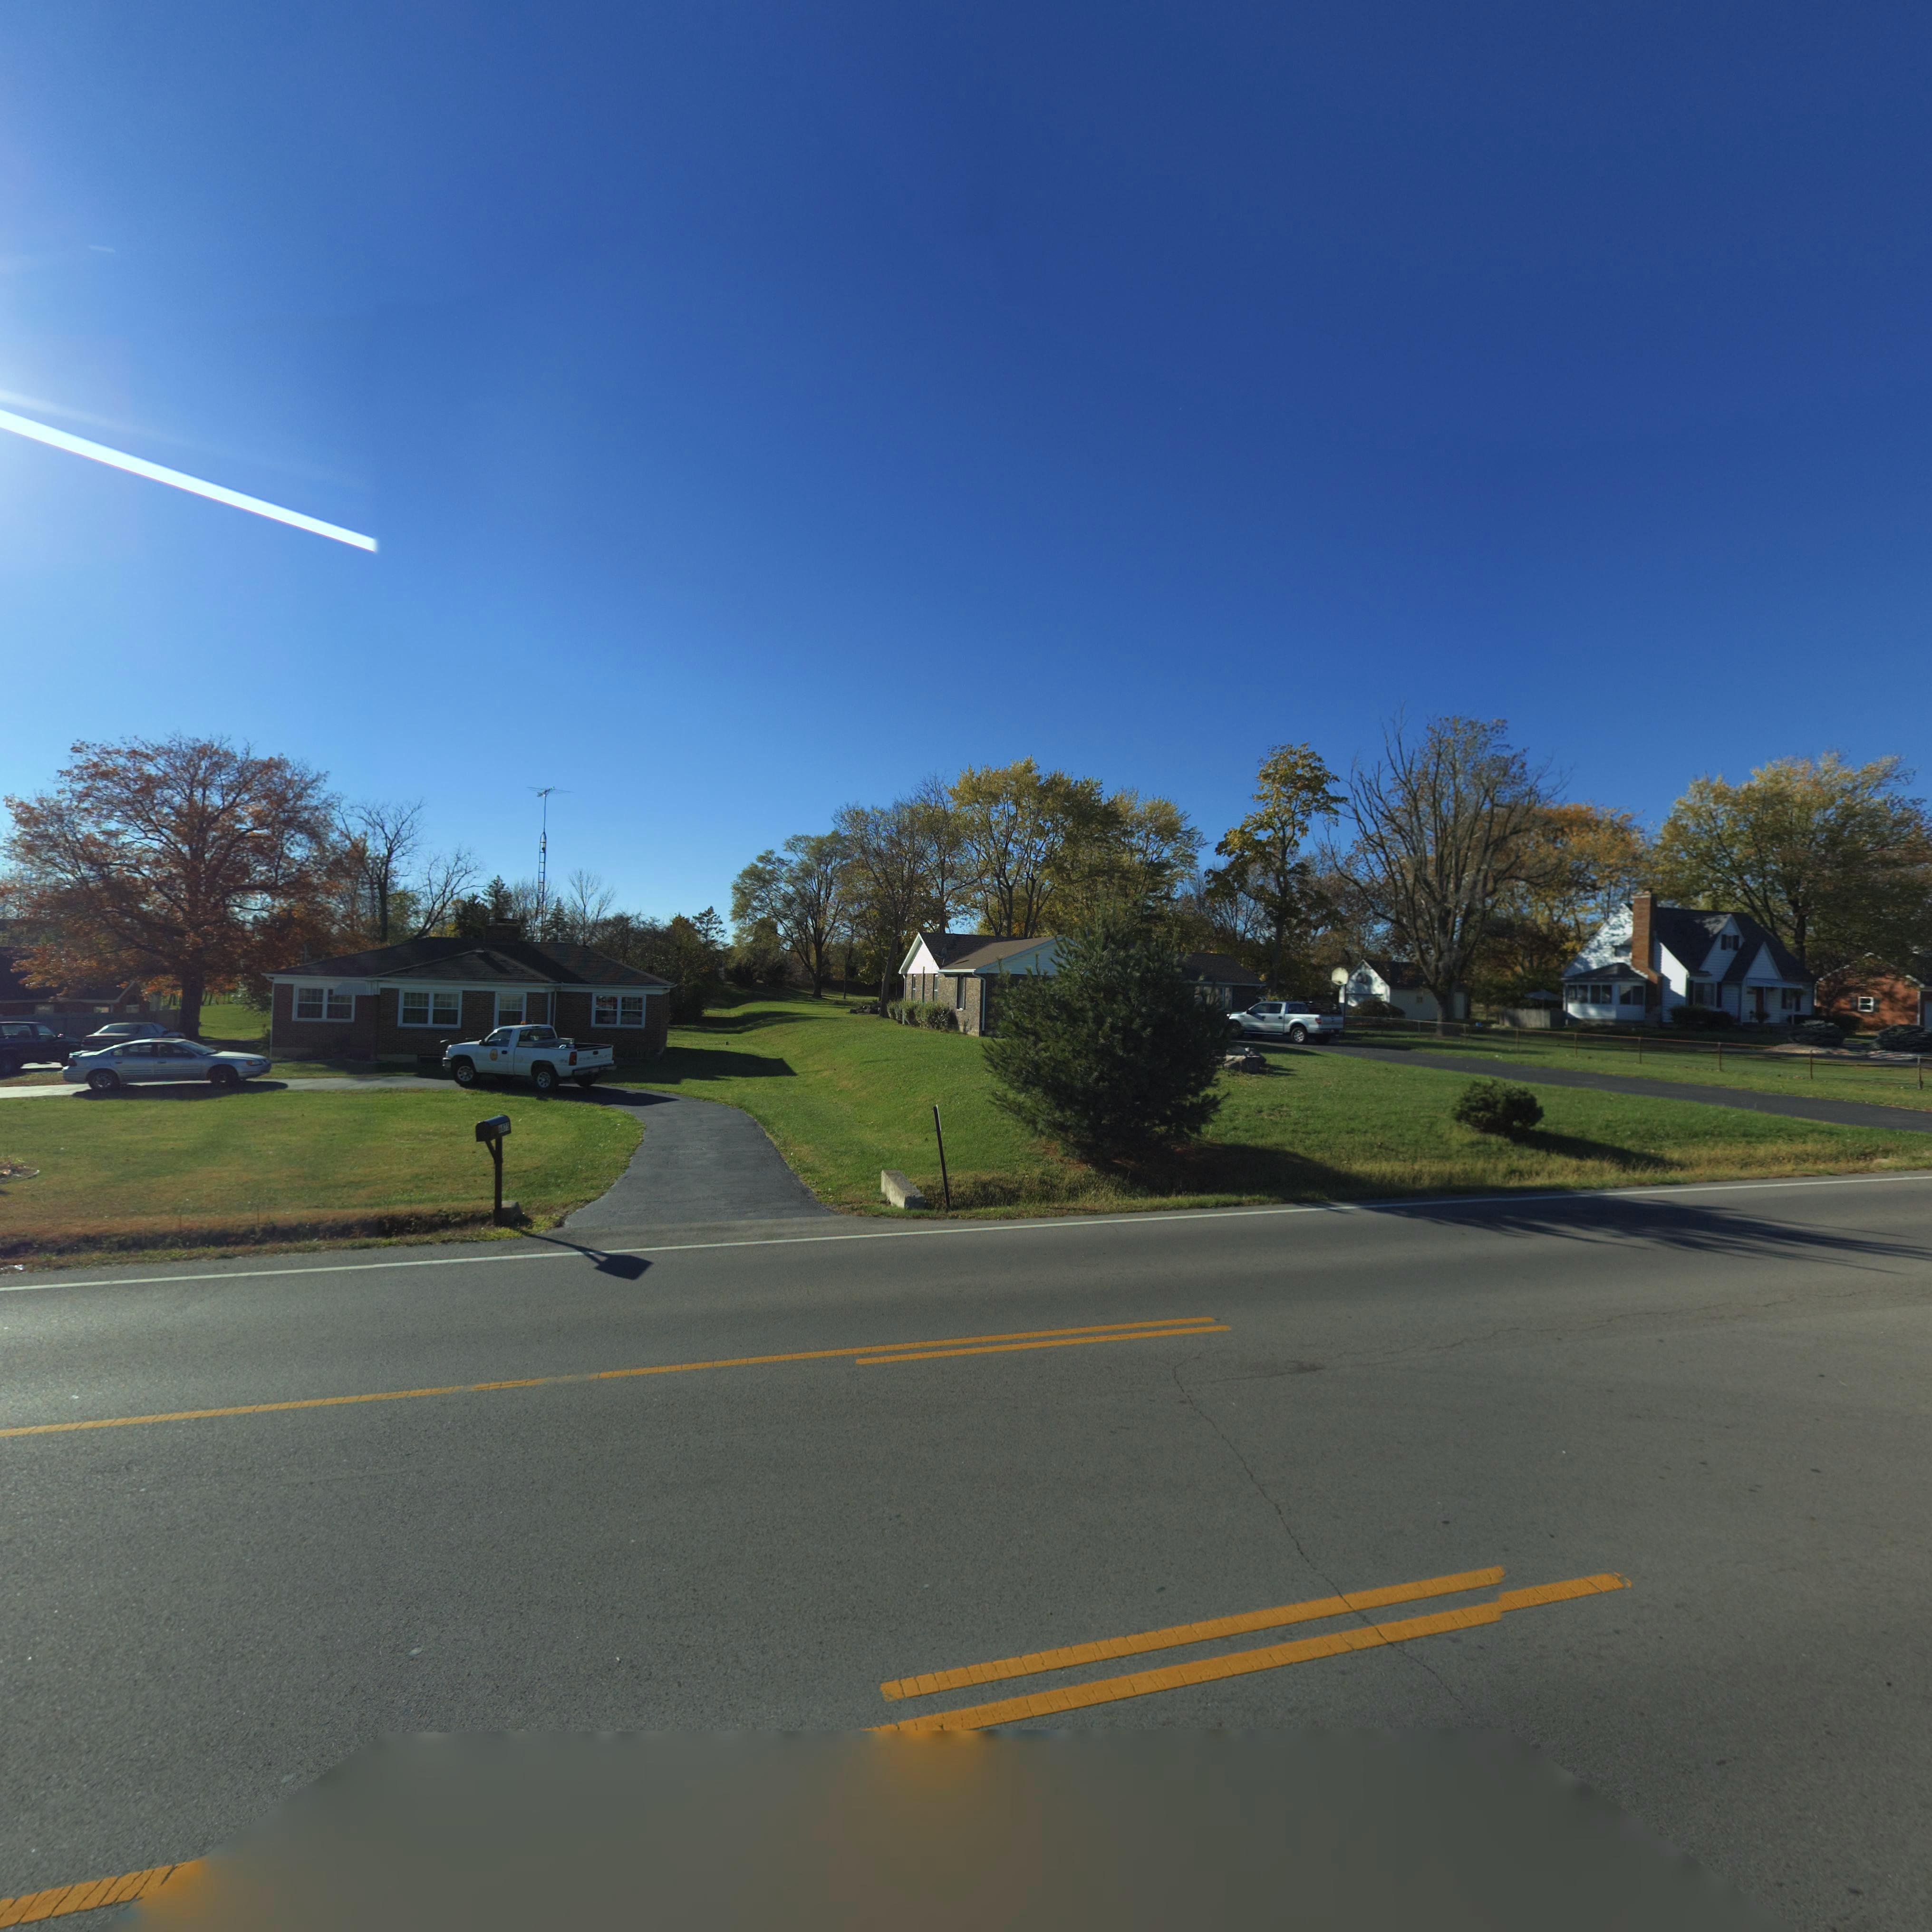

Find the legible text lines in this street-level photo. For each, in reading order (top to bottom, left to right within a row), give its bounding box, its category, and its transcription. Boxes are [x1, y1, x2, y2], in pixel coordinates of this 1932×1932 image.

[498, 1121, 511, 1134] StreetNumber: 6*75